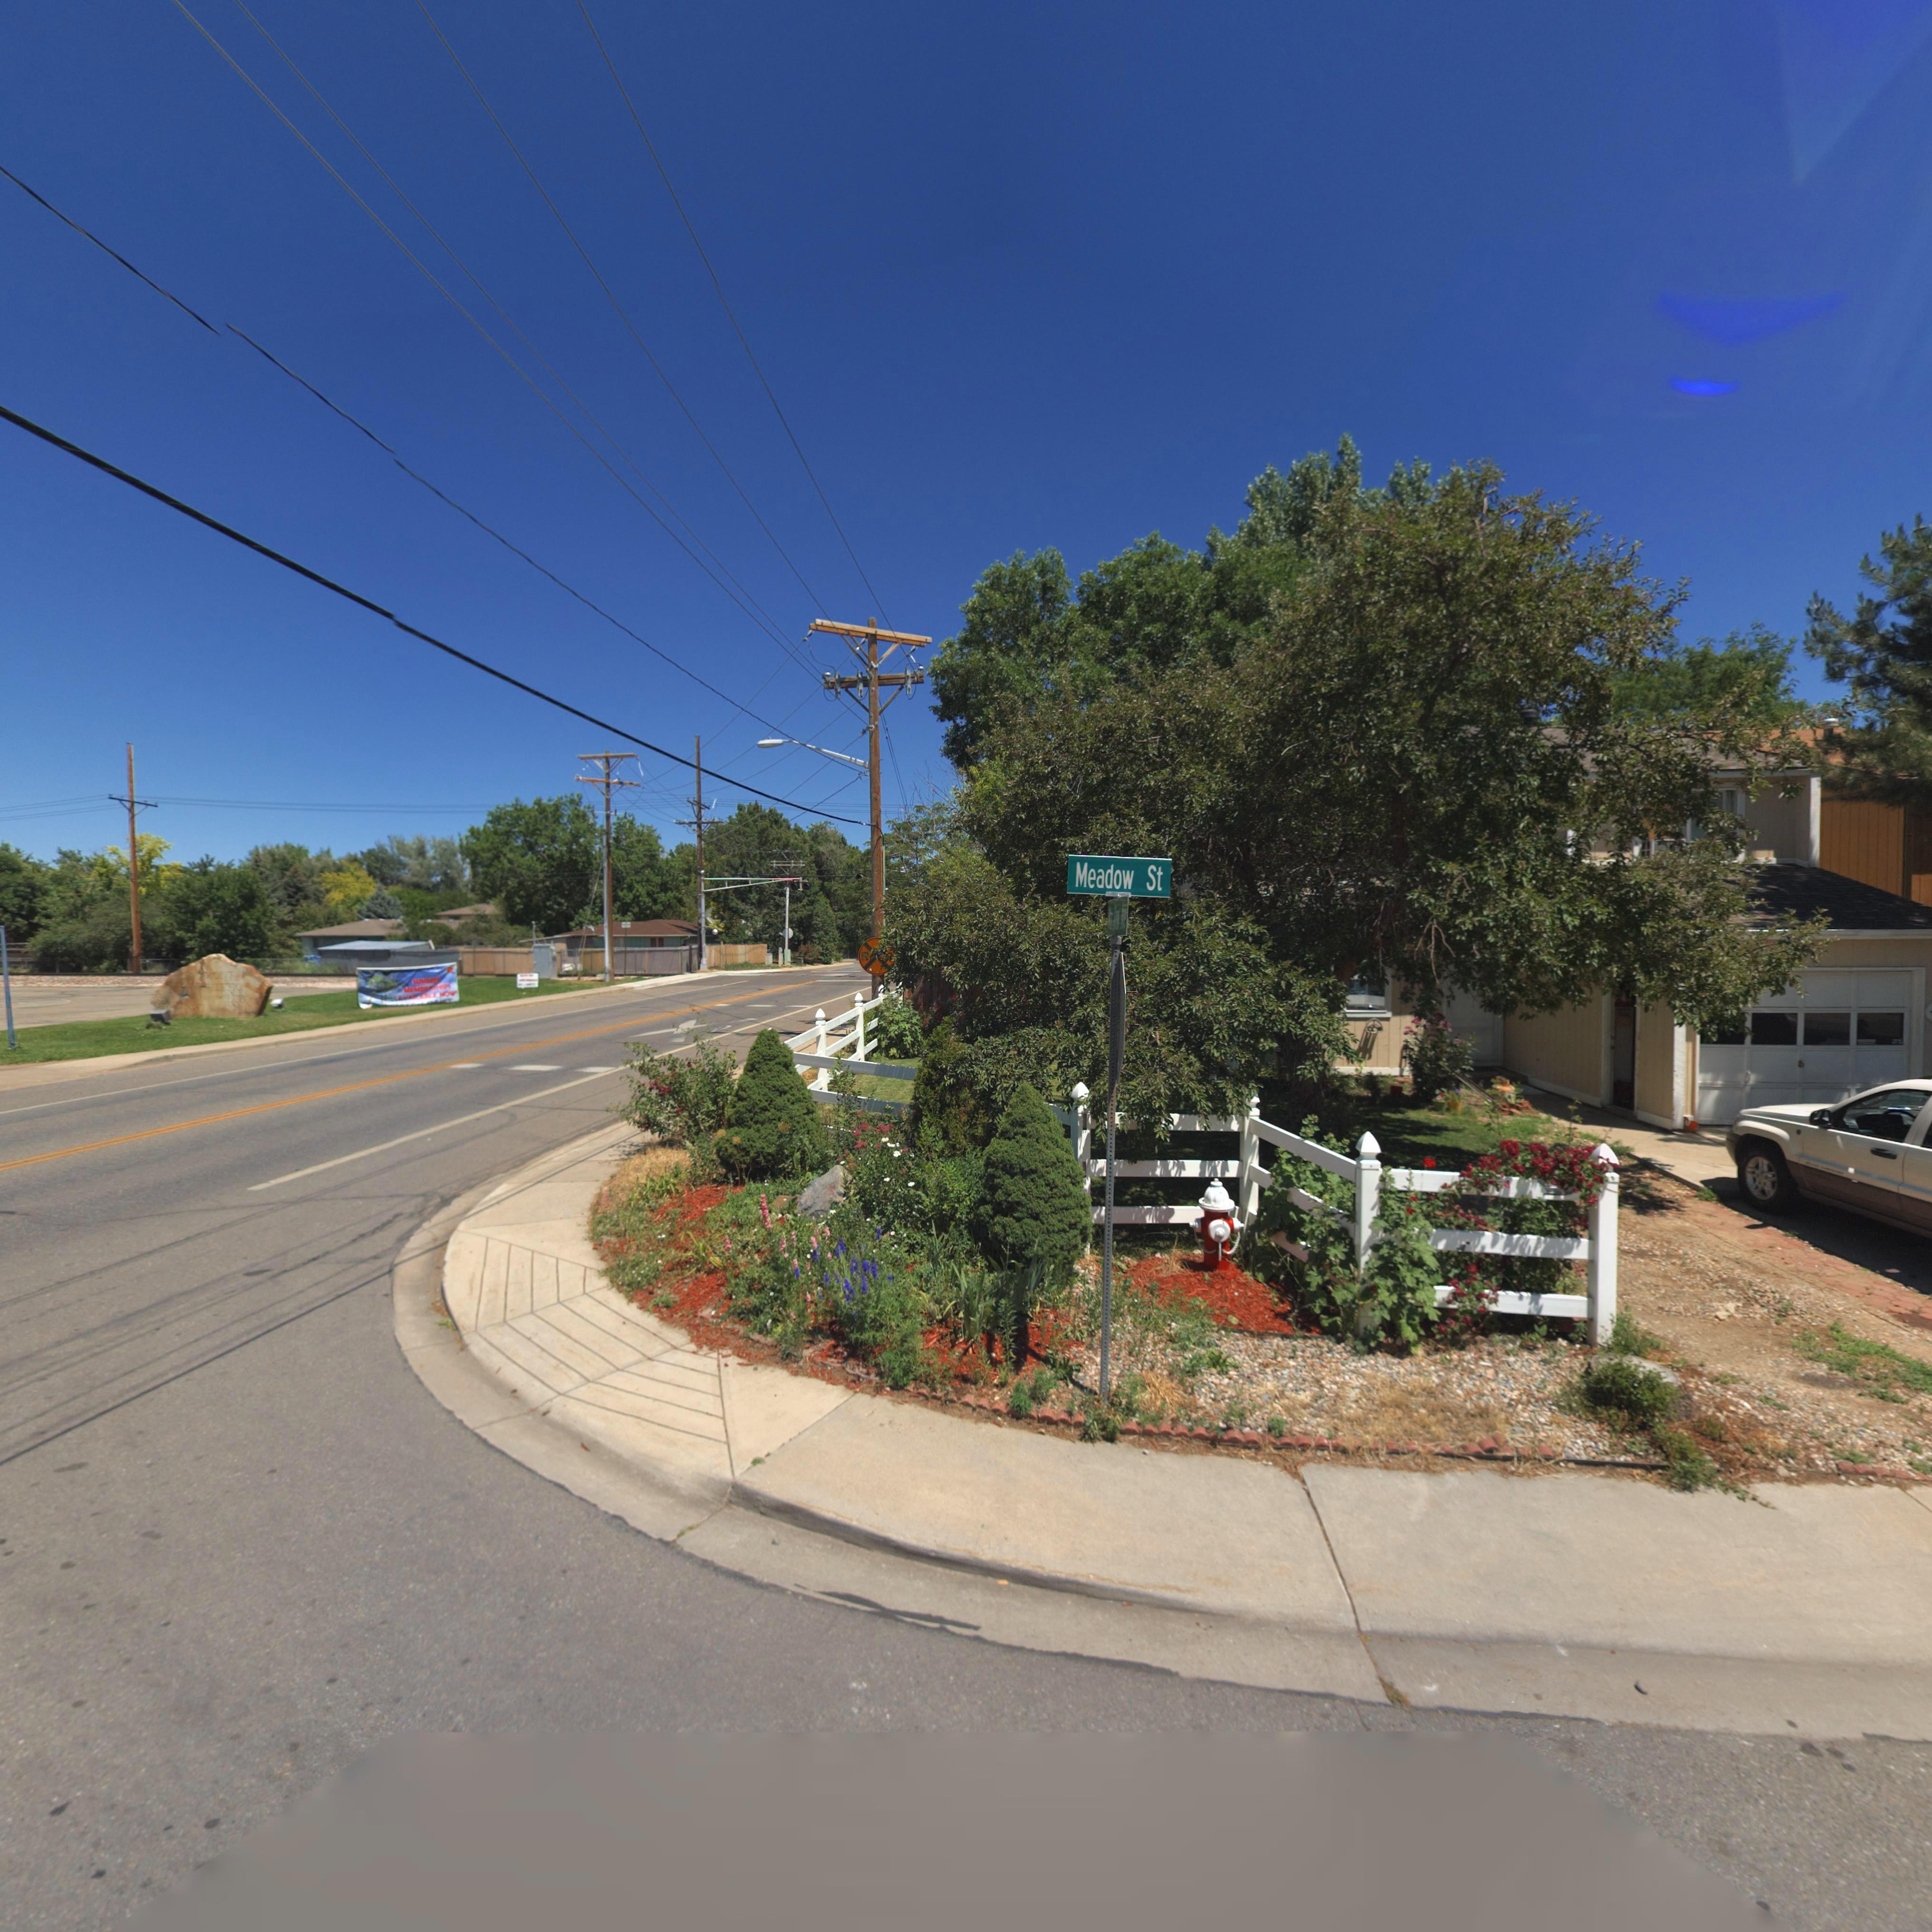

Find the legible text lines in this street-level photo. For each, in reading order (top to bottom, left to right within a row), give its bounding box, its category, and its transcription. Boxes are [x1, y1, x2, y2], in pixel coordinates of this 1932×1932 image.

[1074, 861, 1163, 892] StreetName: Meadow St
[1107, 901, 1127, 930] StreetName: *** View Ave